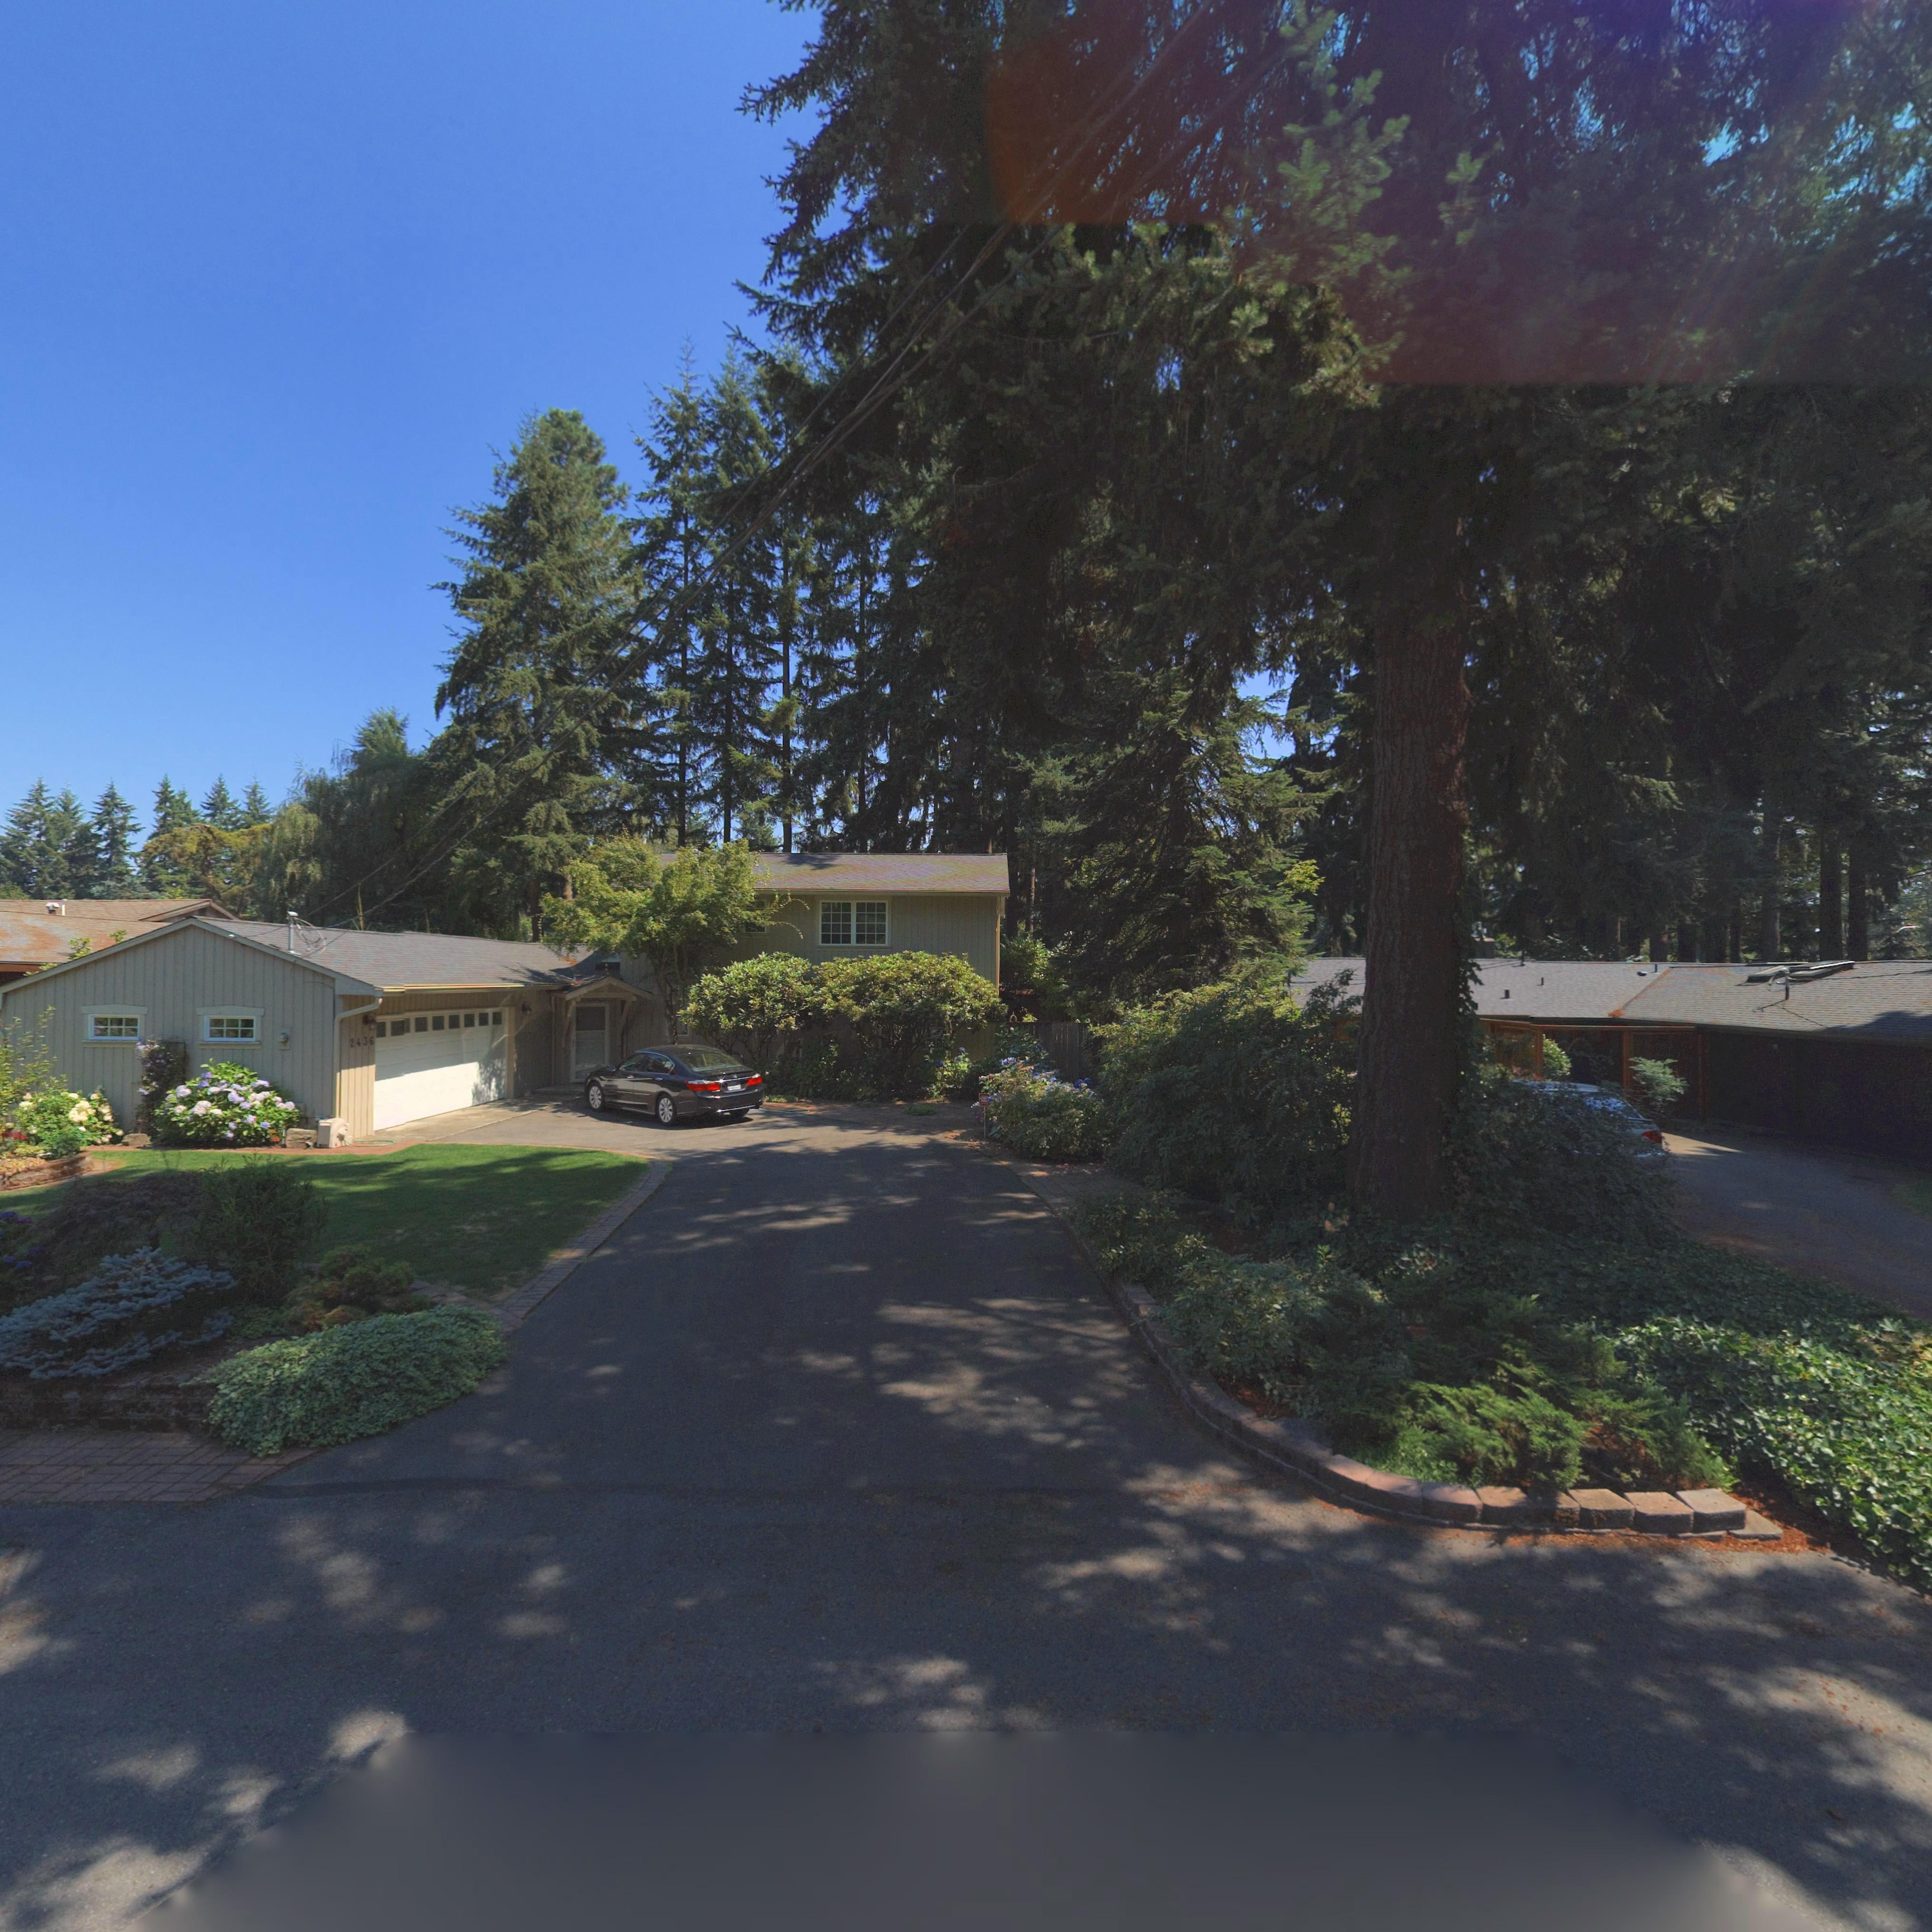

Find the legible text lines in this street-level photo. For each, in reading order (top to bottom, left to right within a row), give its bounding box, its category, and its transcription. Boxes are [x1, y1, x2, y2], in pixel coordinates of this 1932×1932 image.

[349, 1036, 374, 1048] StreetNumber: 2436